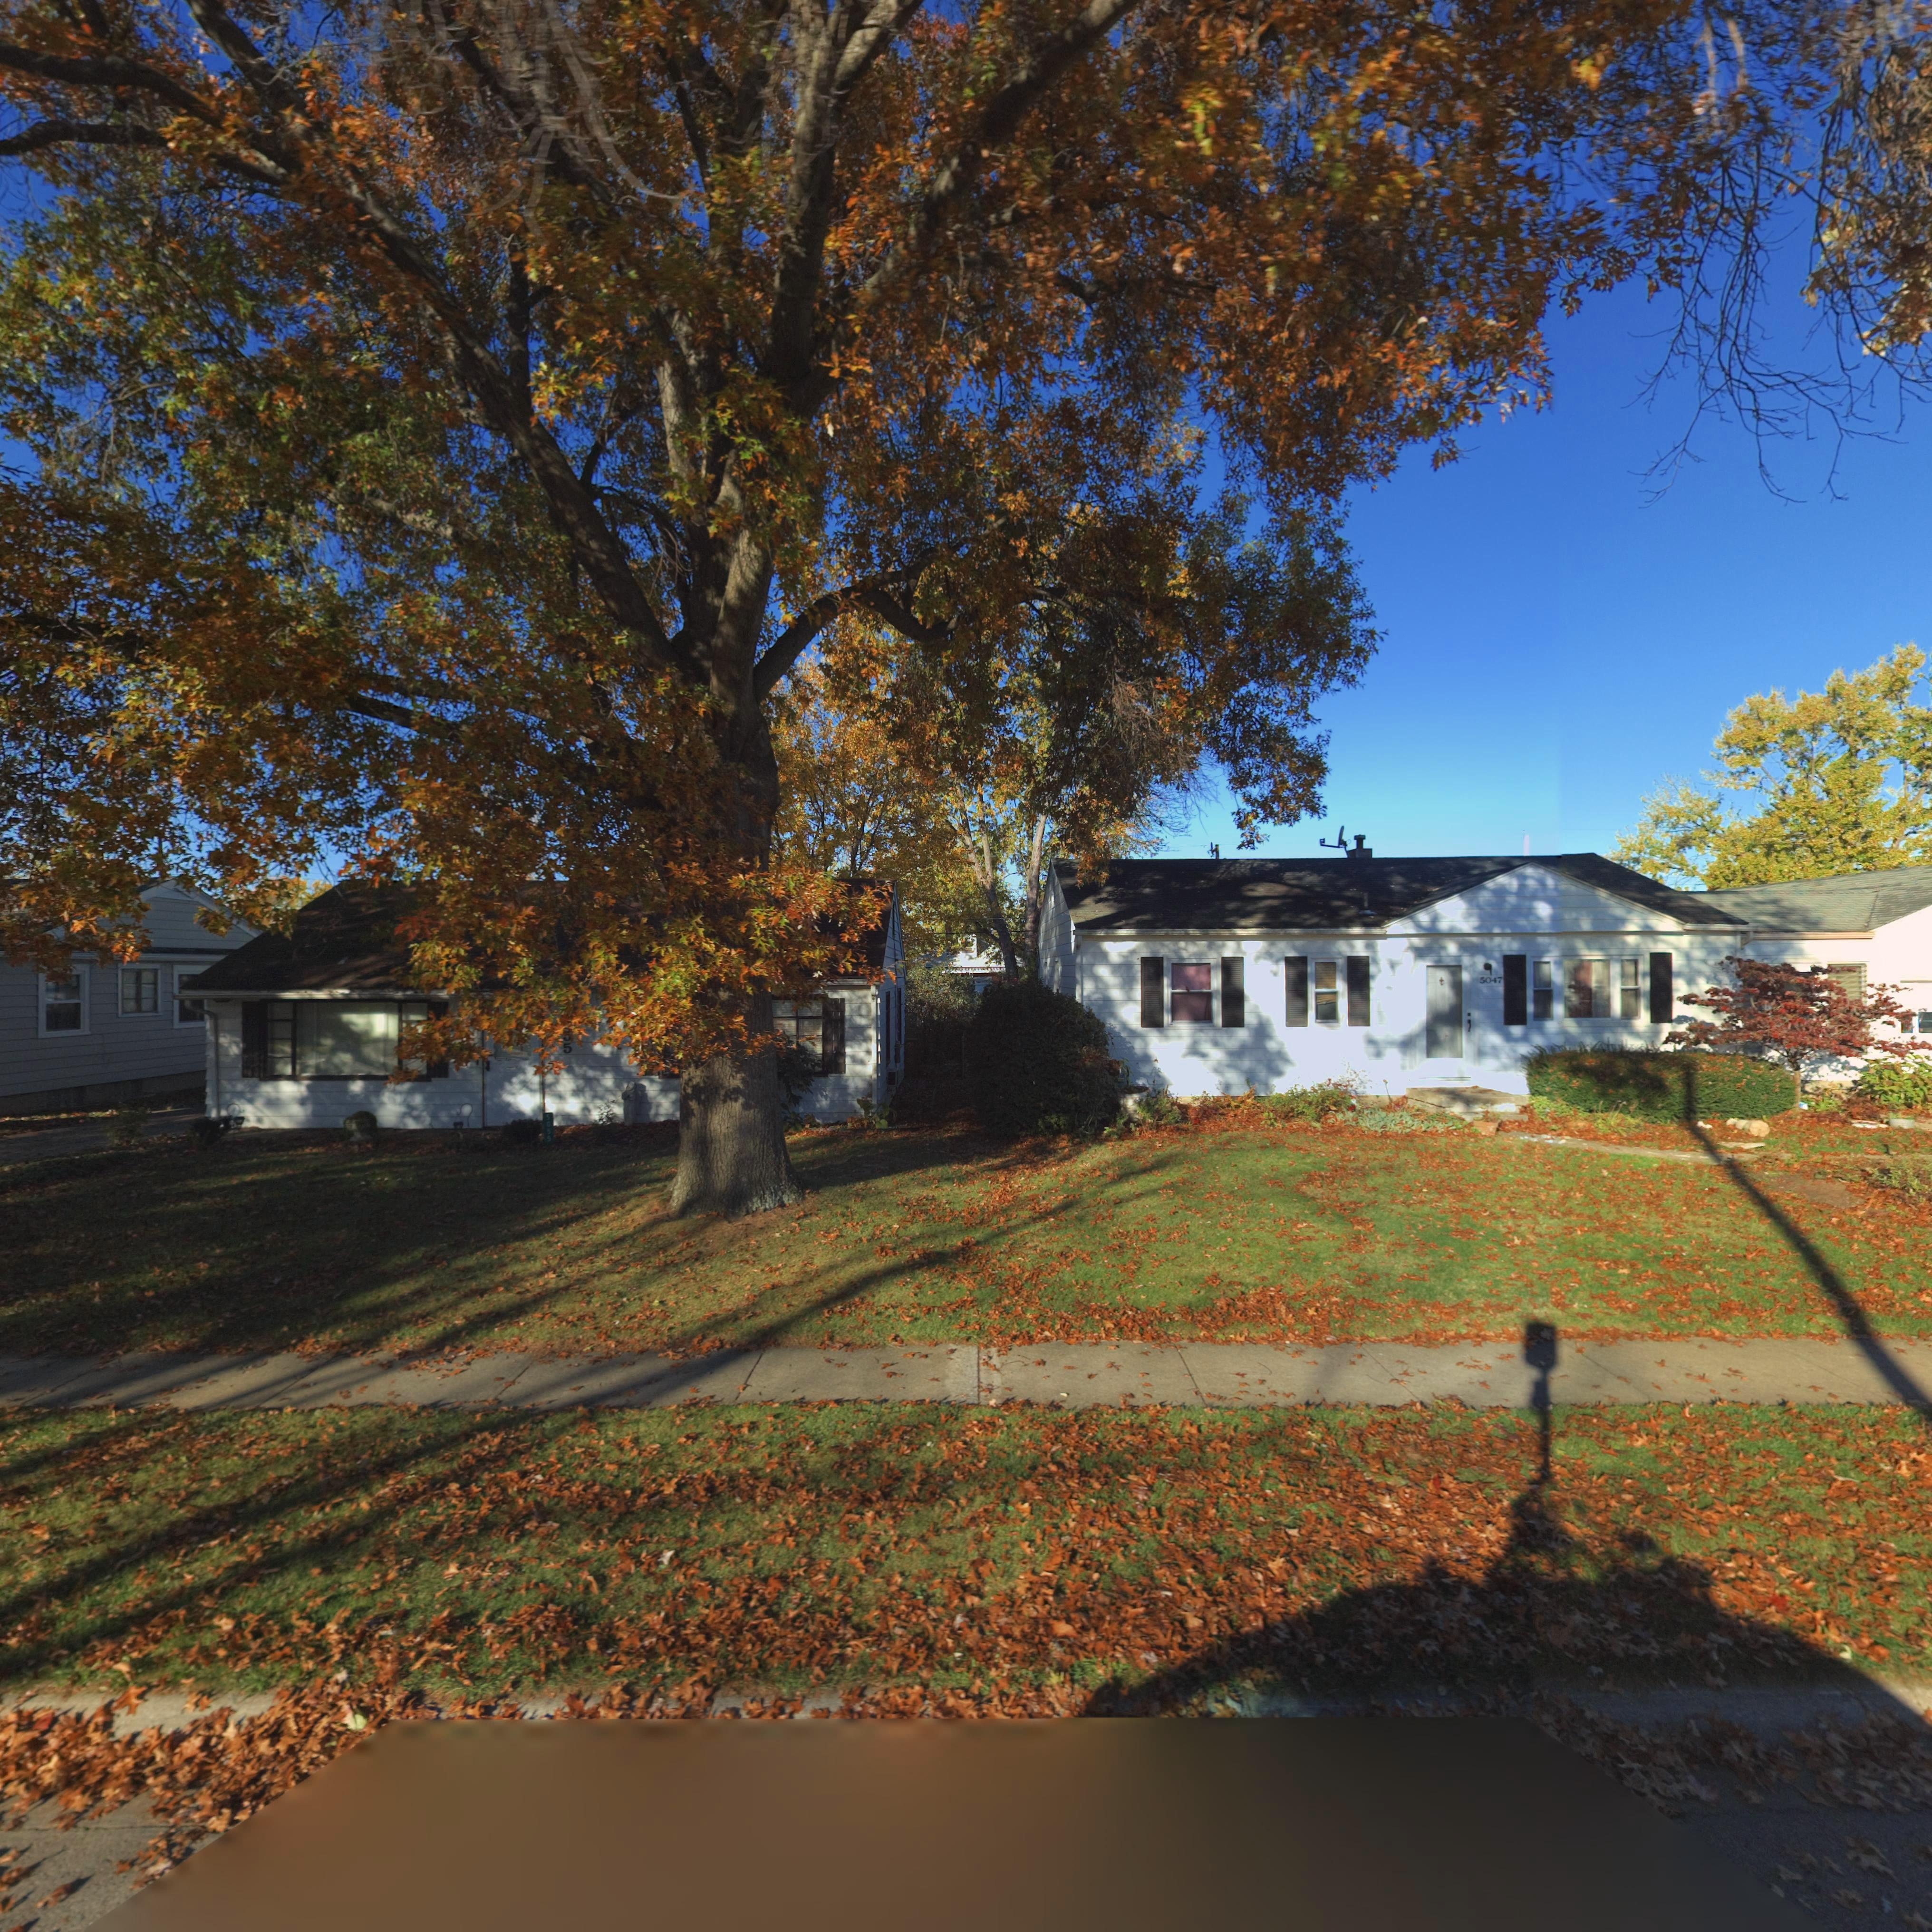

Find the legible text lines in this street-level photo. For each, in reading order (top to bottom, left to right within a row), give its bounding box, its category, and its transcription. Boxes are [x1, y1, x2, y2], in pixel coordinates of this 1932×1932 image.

[1479, 976, 1504, 984] StreetNumber: 5047
[562, 1013, 572, 1054] StreetNumber: ***5